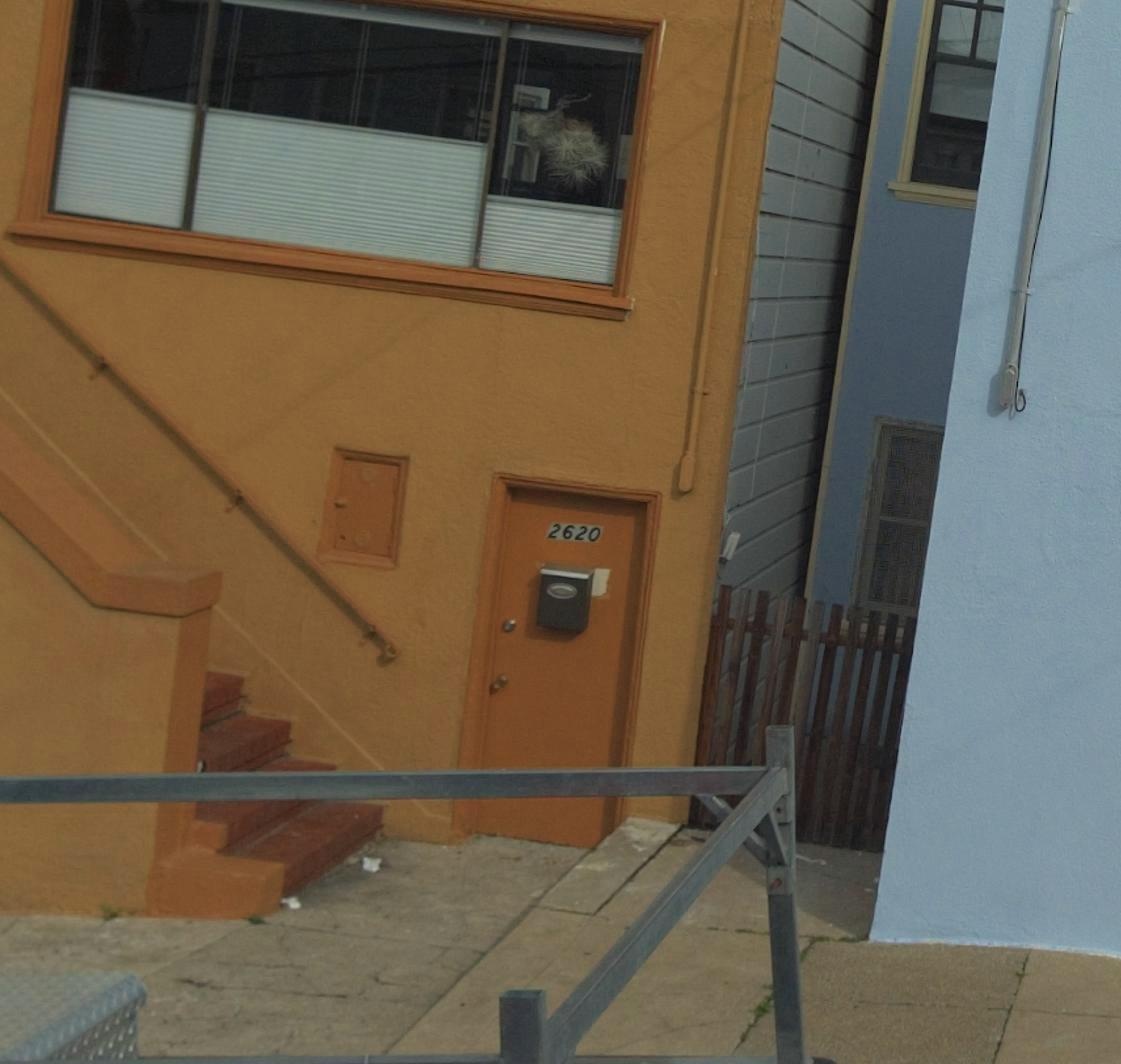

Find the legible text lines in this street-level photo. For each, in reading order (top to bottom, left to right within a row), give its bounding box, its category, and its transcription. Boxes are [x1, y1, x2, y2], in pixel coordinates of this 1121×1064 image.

[544, 522, 603, 544] StreetNumber: 2620